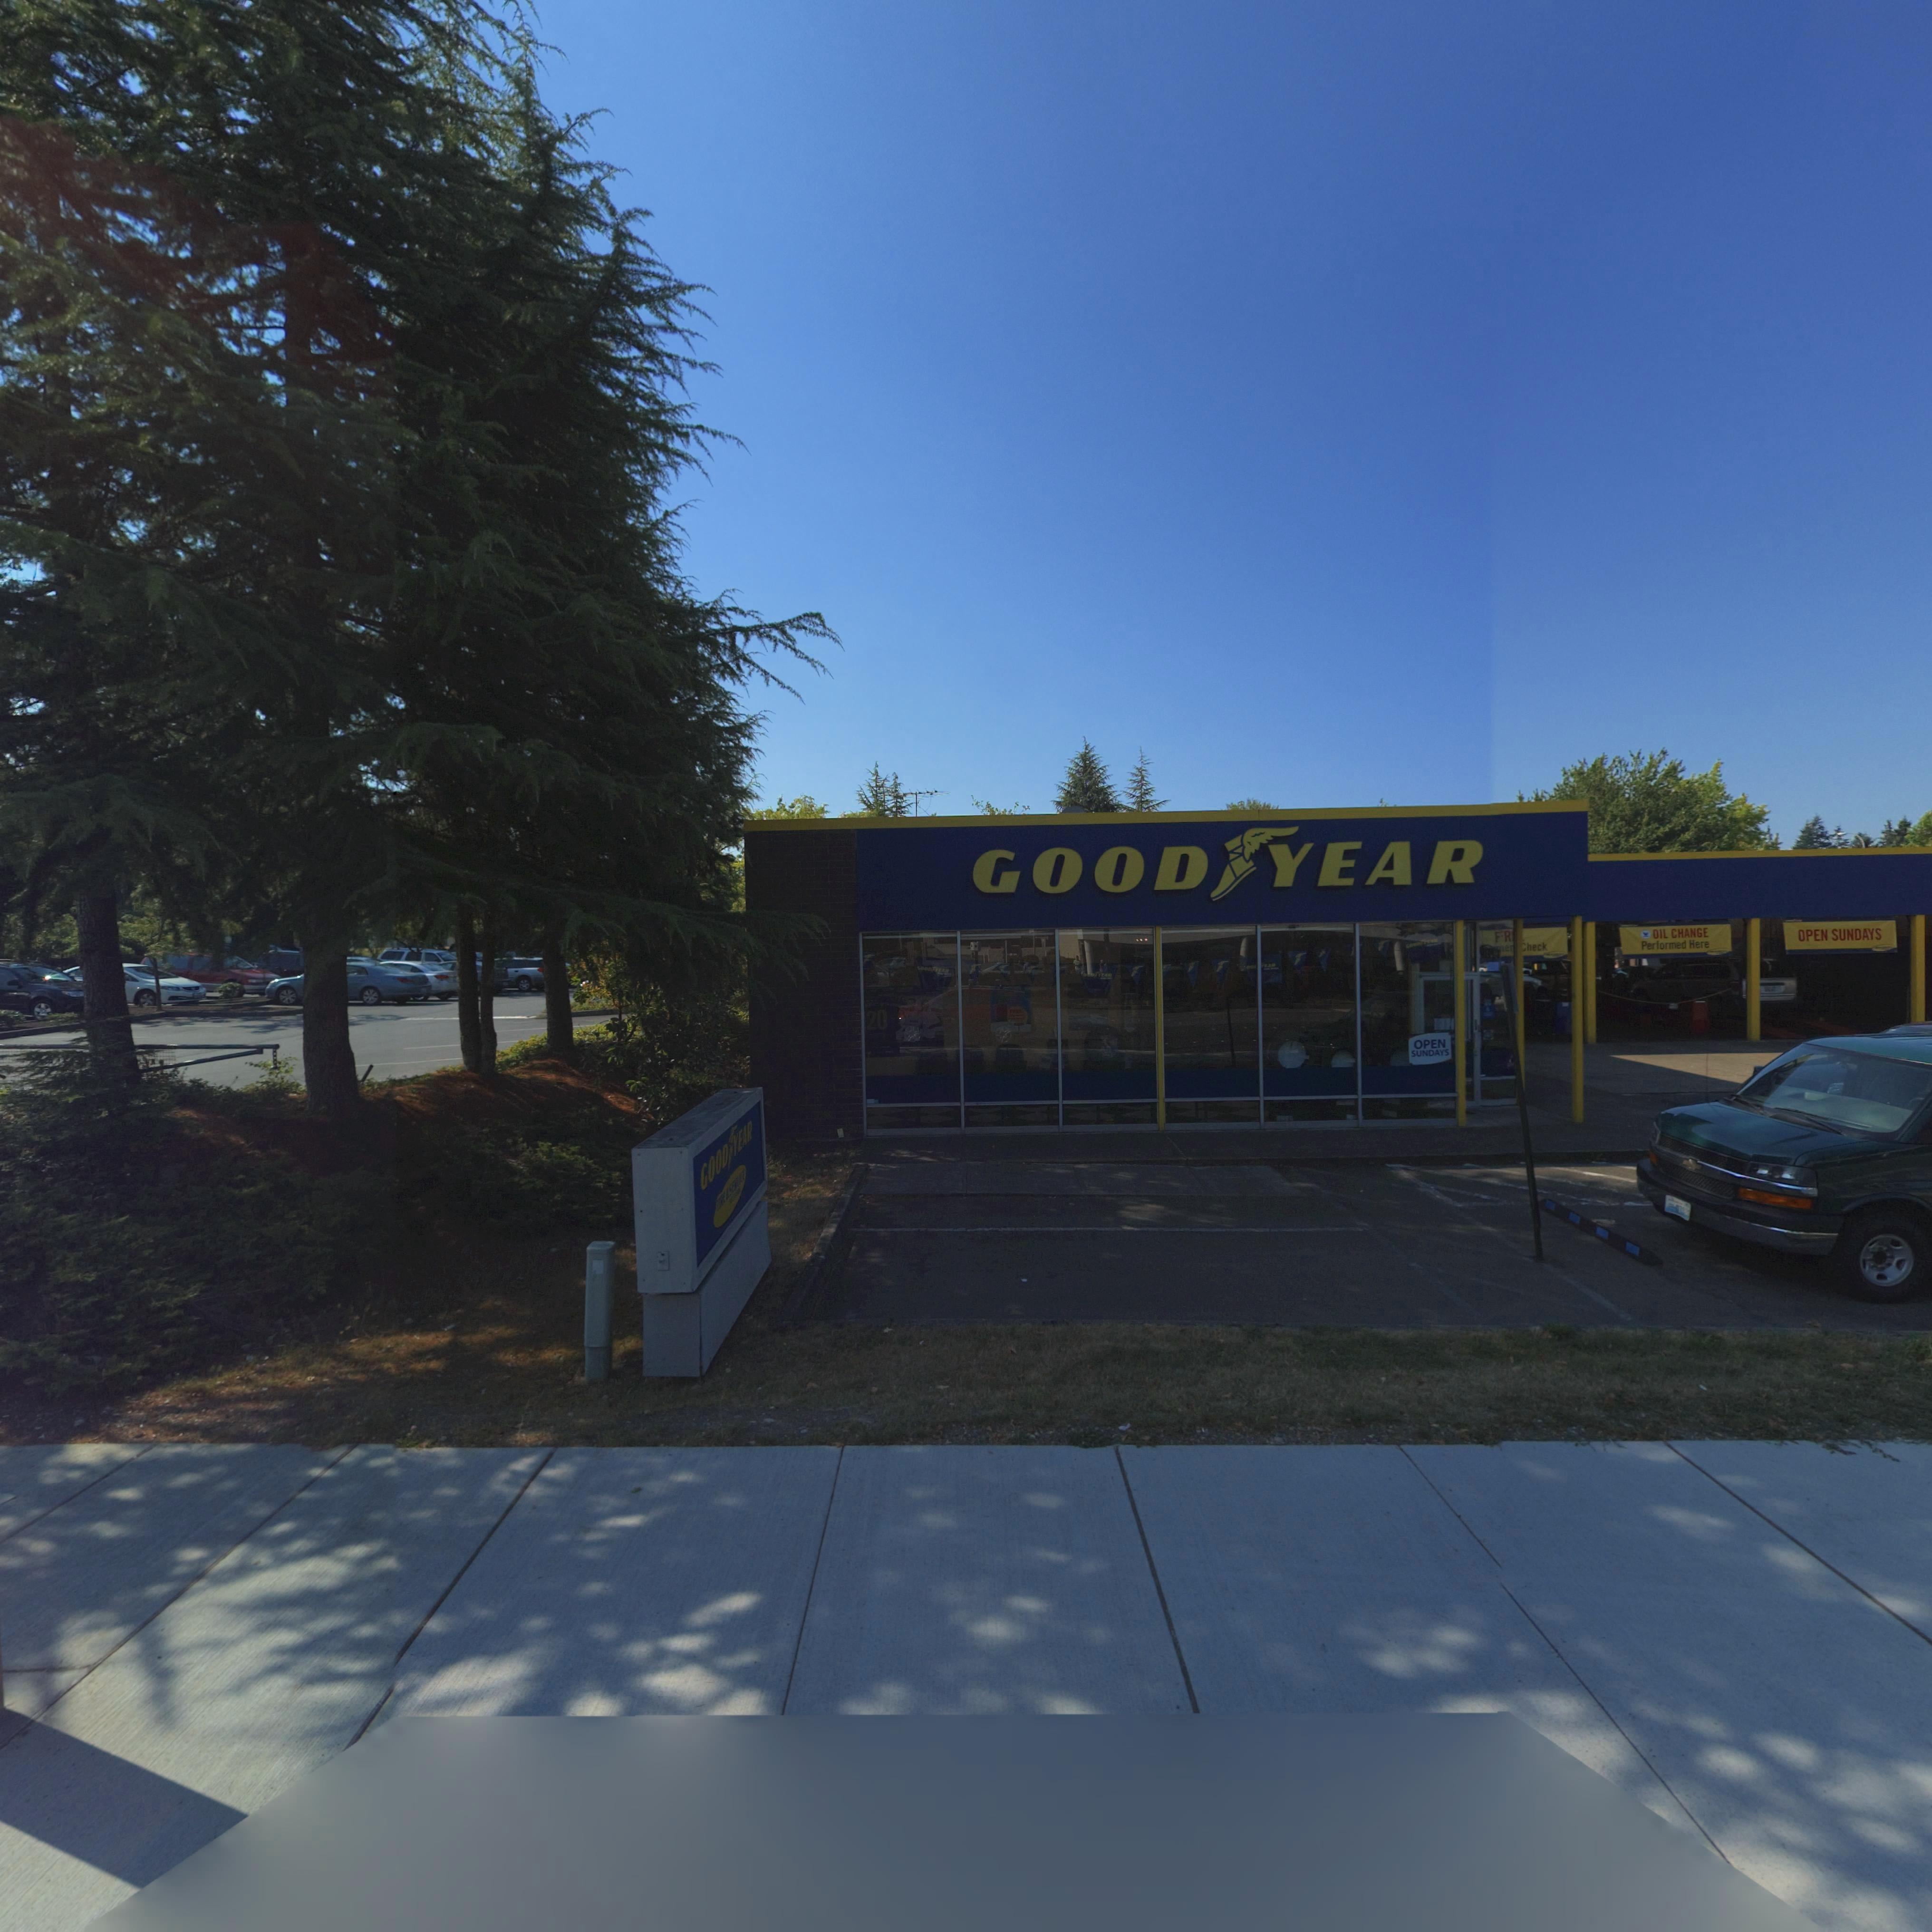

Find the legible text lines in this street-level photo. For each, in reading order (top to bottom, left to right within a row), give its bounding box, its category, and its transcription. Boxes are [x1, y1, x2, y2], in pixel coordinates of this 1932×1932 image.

[969, 838, 1488, 898] BusinessName: GOOD*YEAR
[697, 1115, 754, 1194] BusinessName: GOOD*YEAR